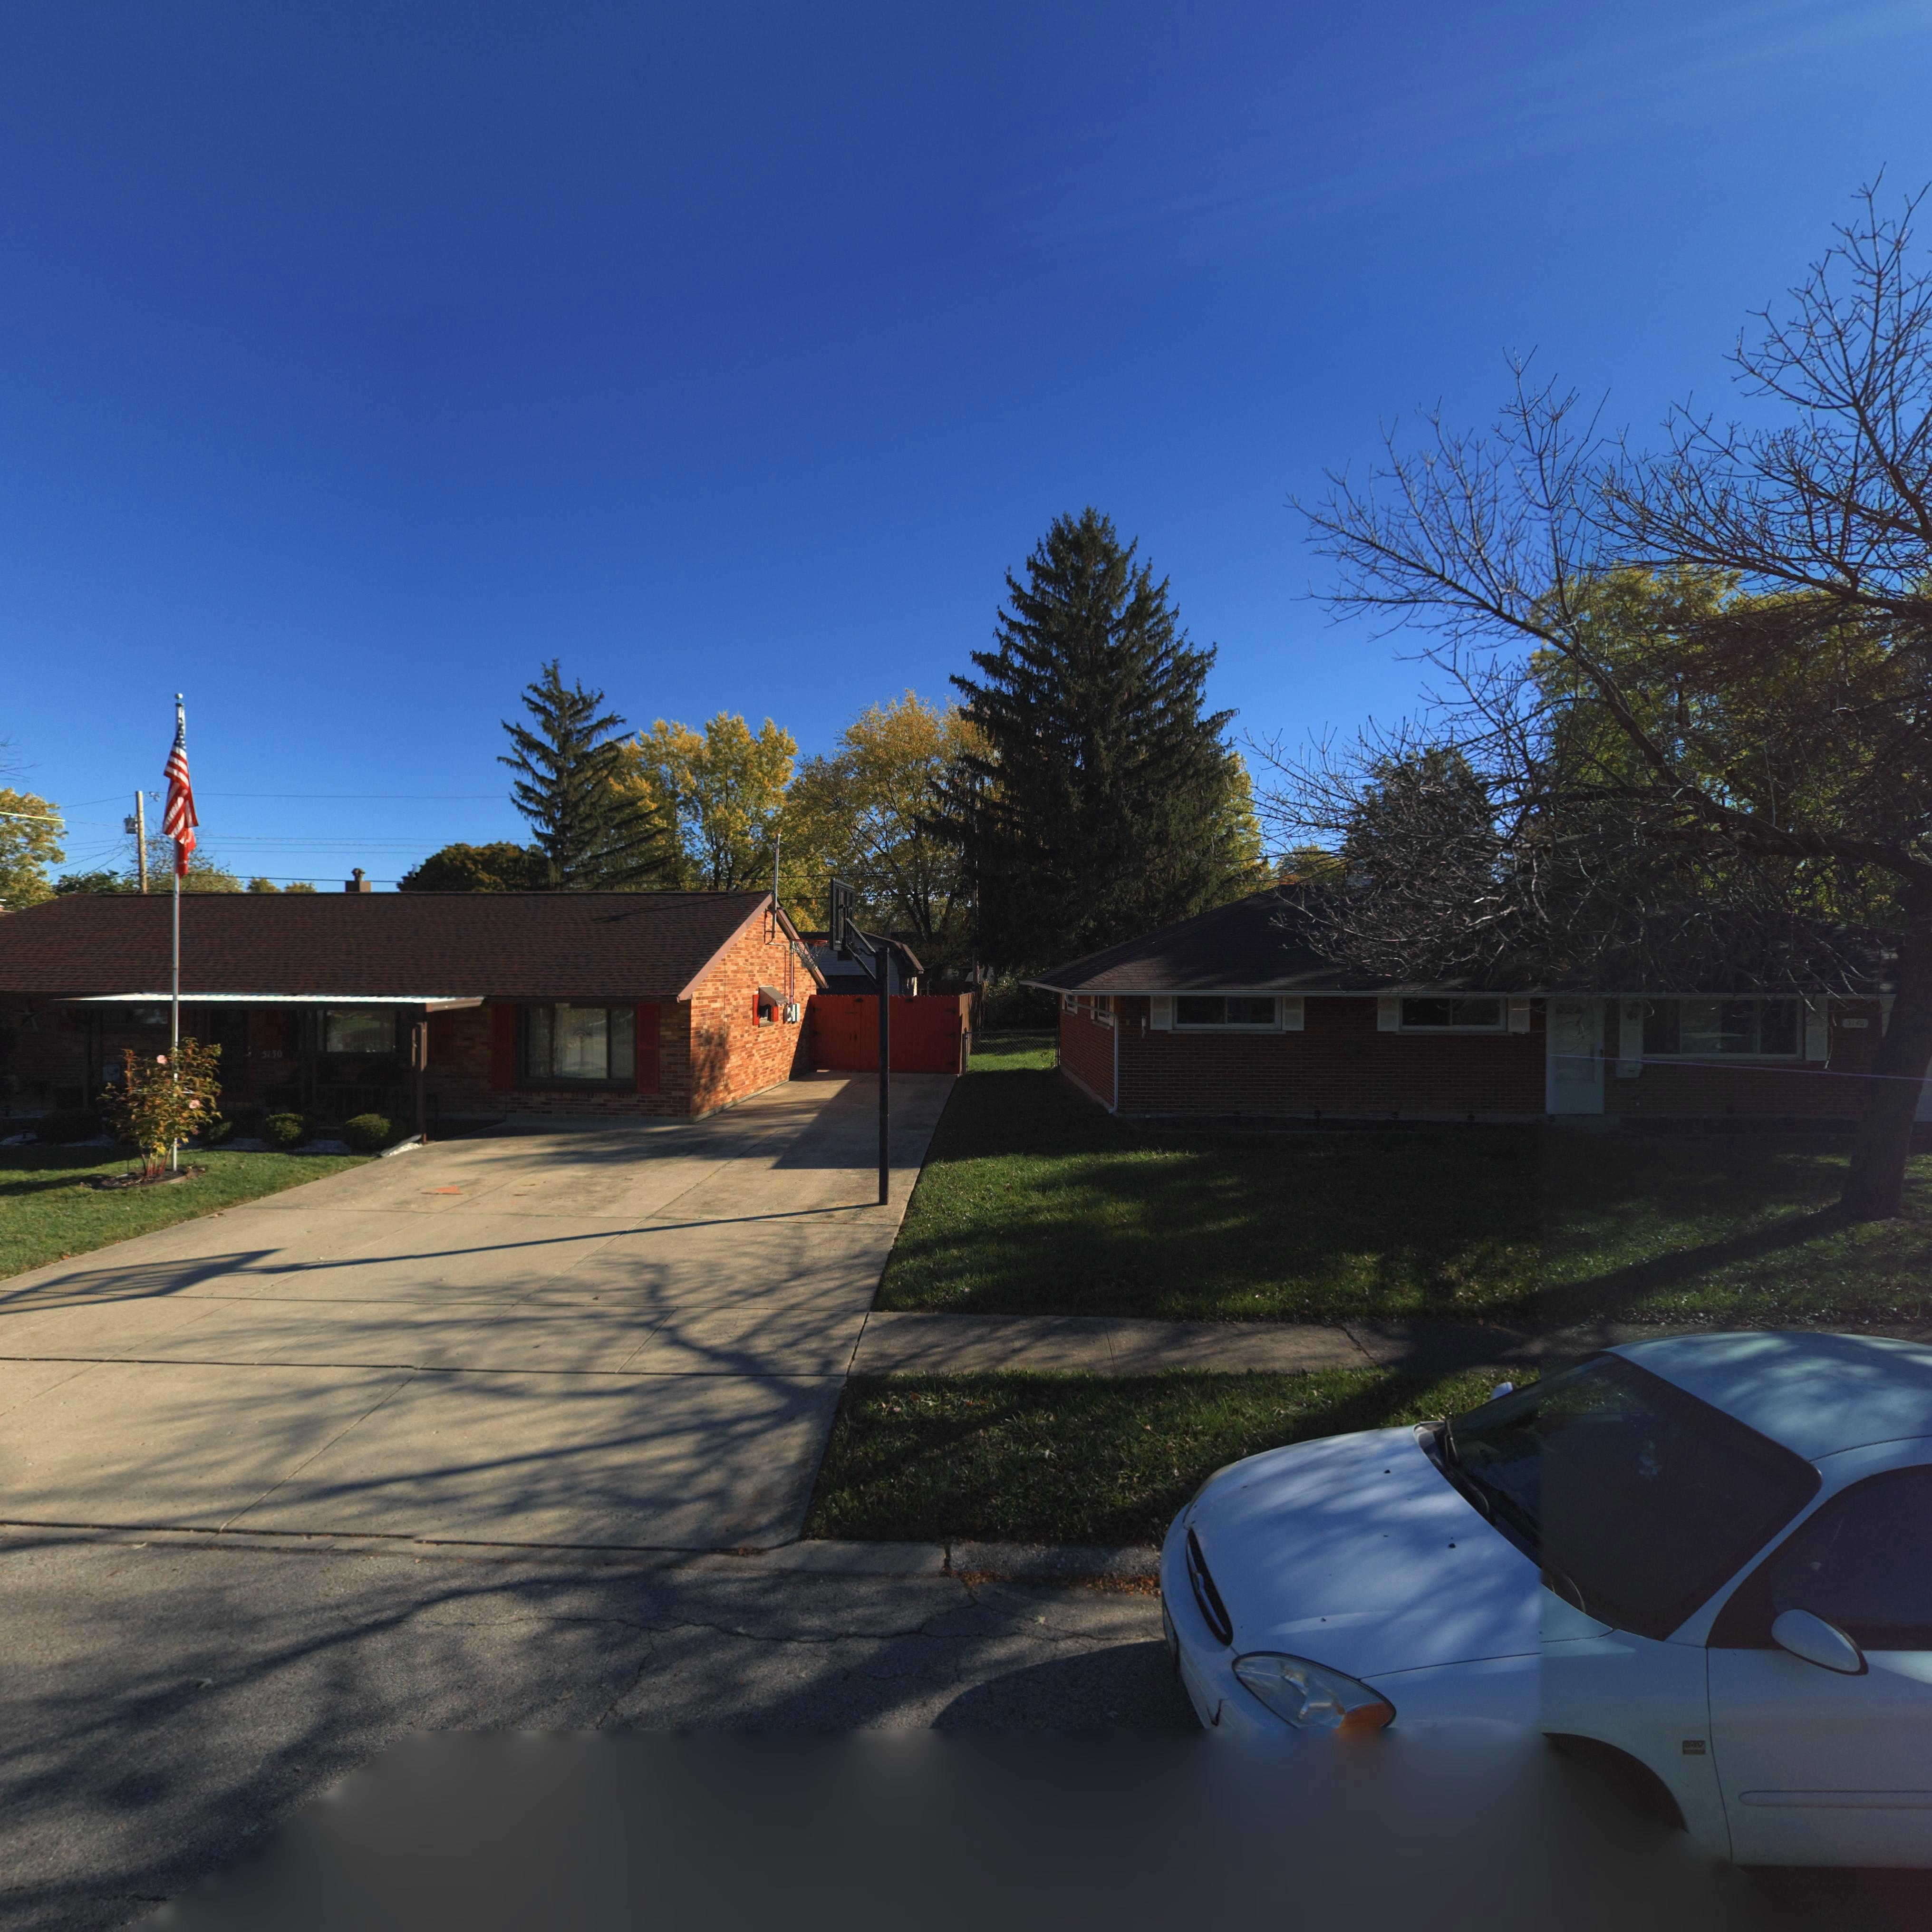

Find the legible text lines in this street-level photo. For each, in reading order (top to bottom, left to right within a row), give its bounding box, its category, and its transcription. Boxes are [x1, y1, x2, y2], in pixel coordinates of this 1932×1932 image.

[1845, 1019, 1864, 1026] StreetNumber: 5140
[261, 1049, 283, 1058] StreetNumber: 5130